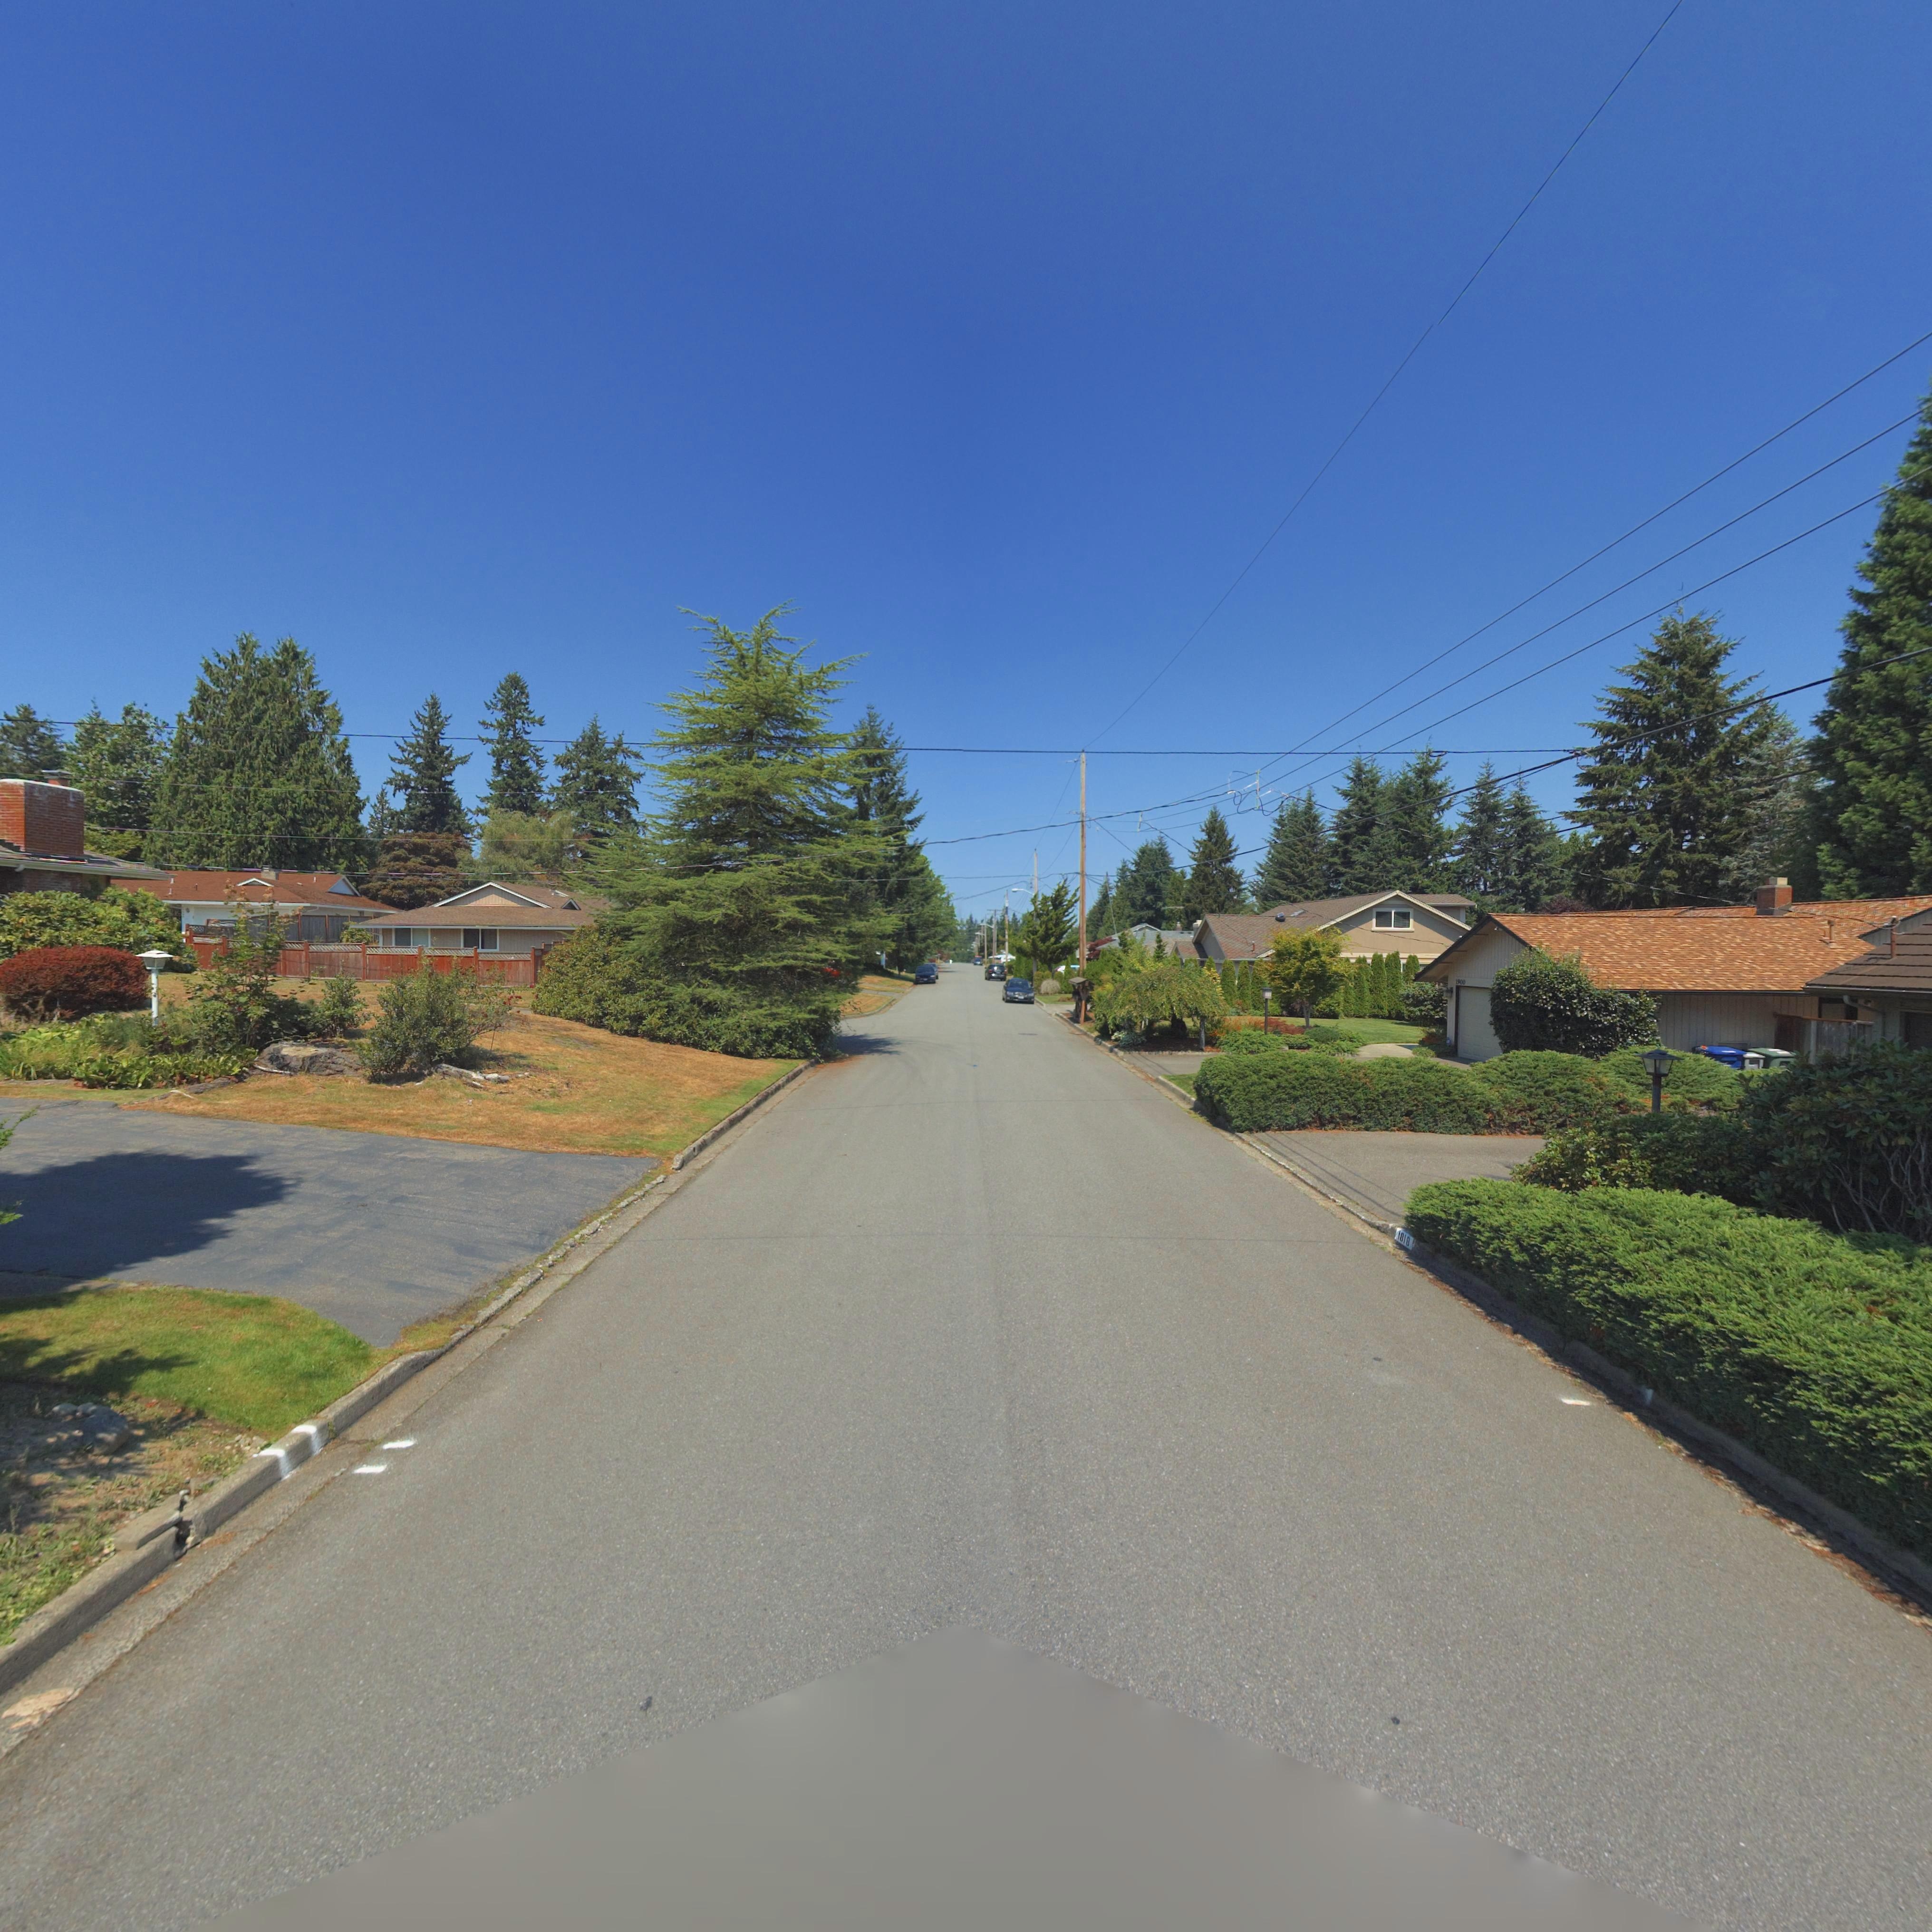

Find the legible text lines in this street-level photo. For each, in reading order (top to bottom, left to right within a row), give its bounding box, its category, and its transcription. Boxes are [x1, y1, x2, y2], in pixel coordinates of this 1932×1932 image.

[1455, 978, 1466, 985] StreetNumber: 1900
[1396, 1229, 1410, 1246] StreetNumber: 1818